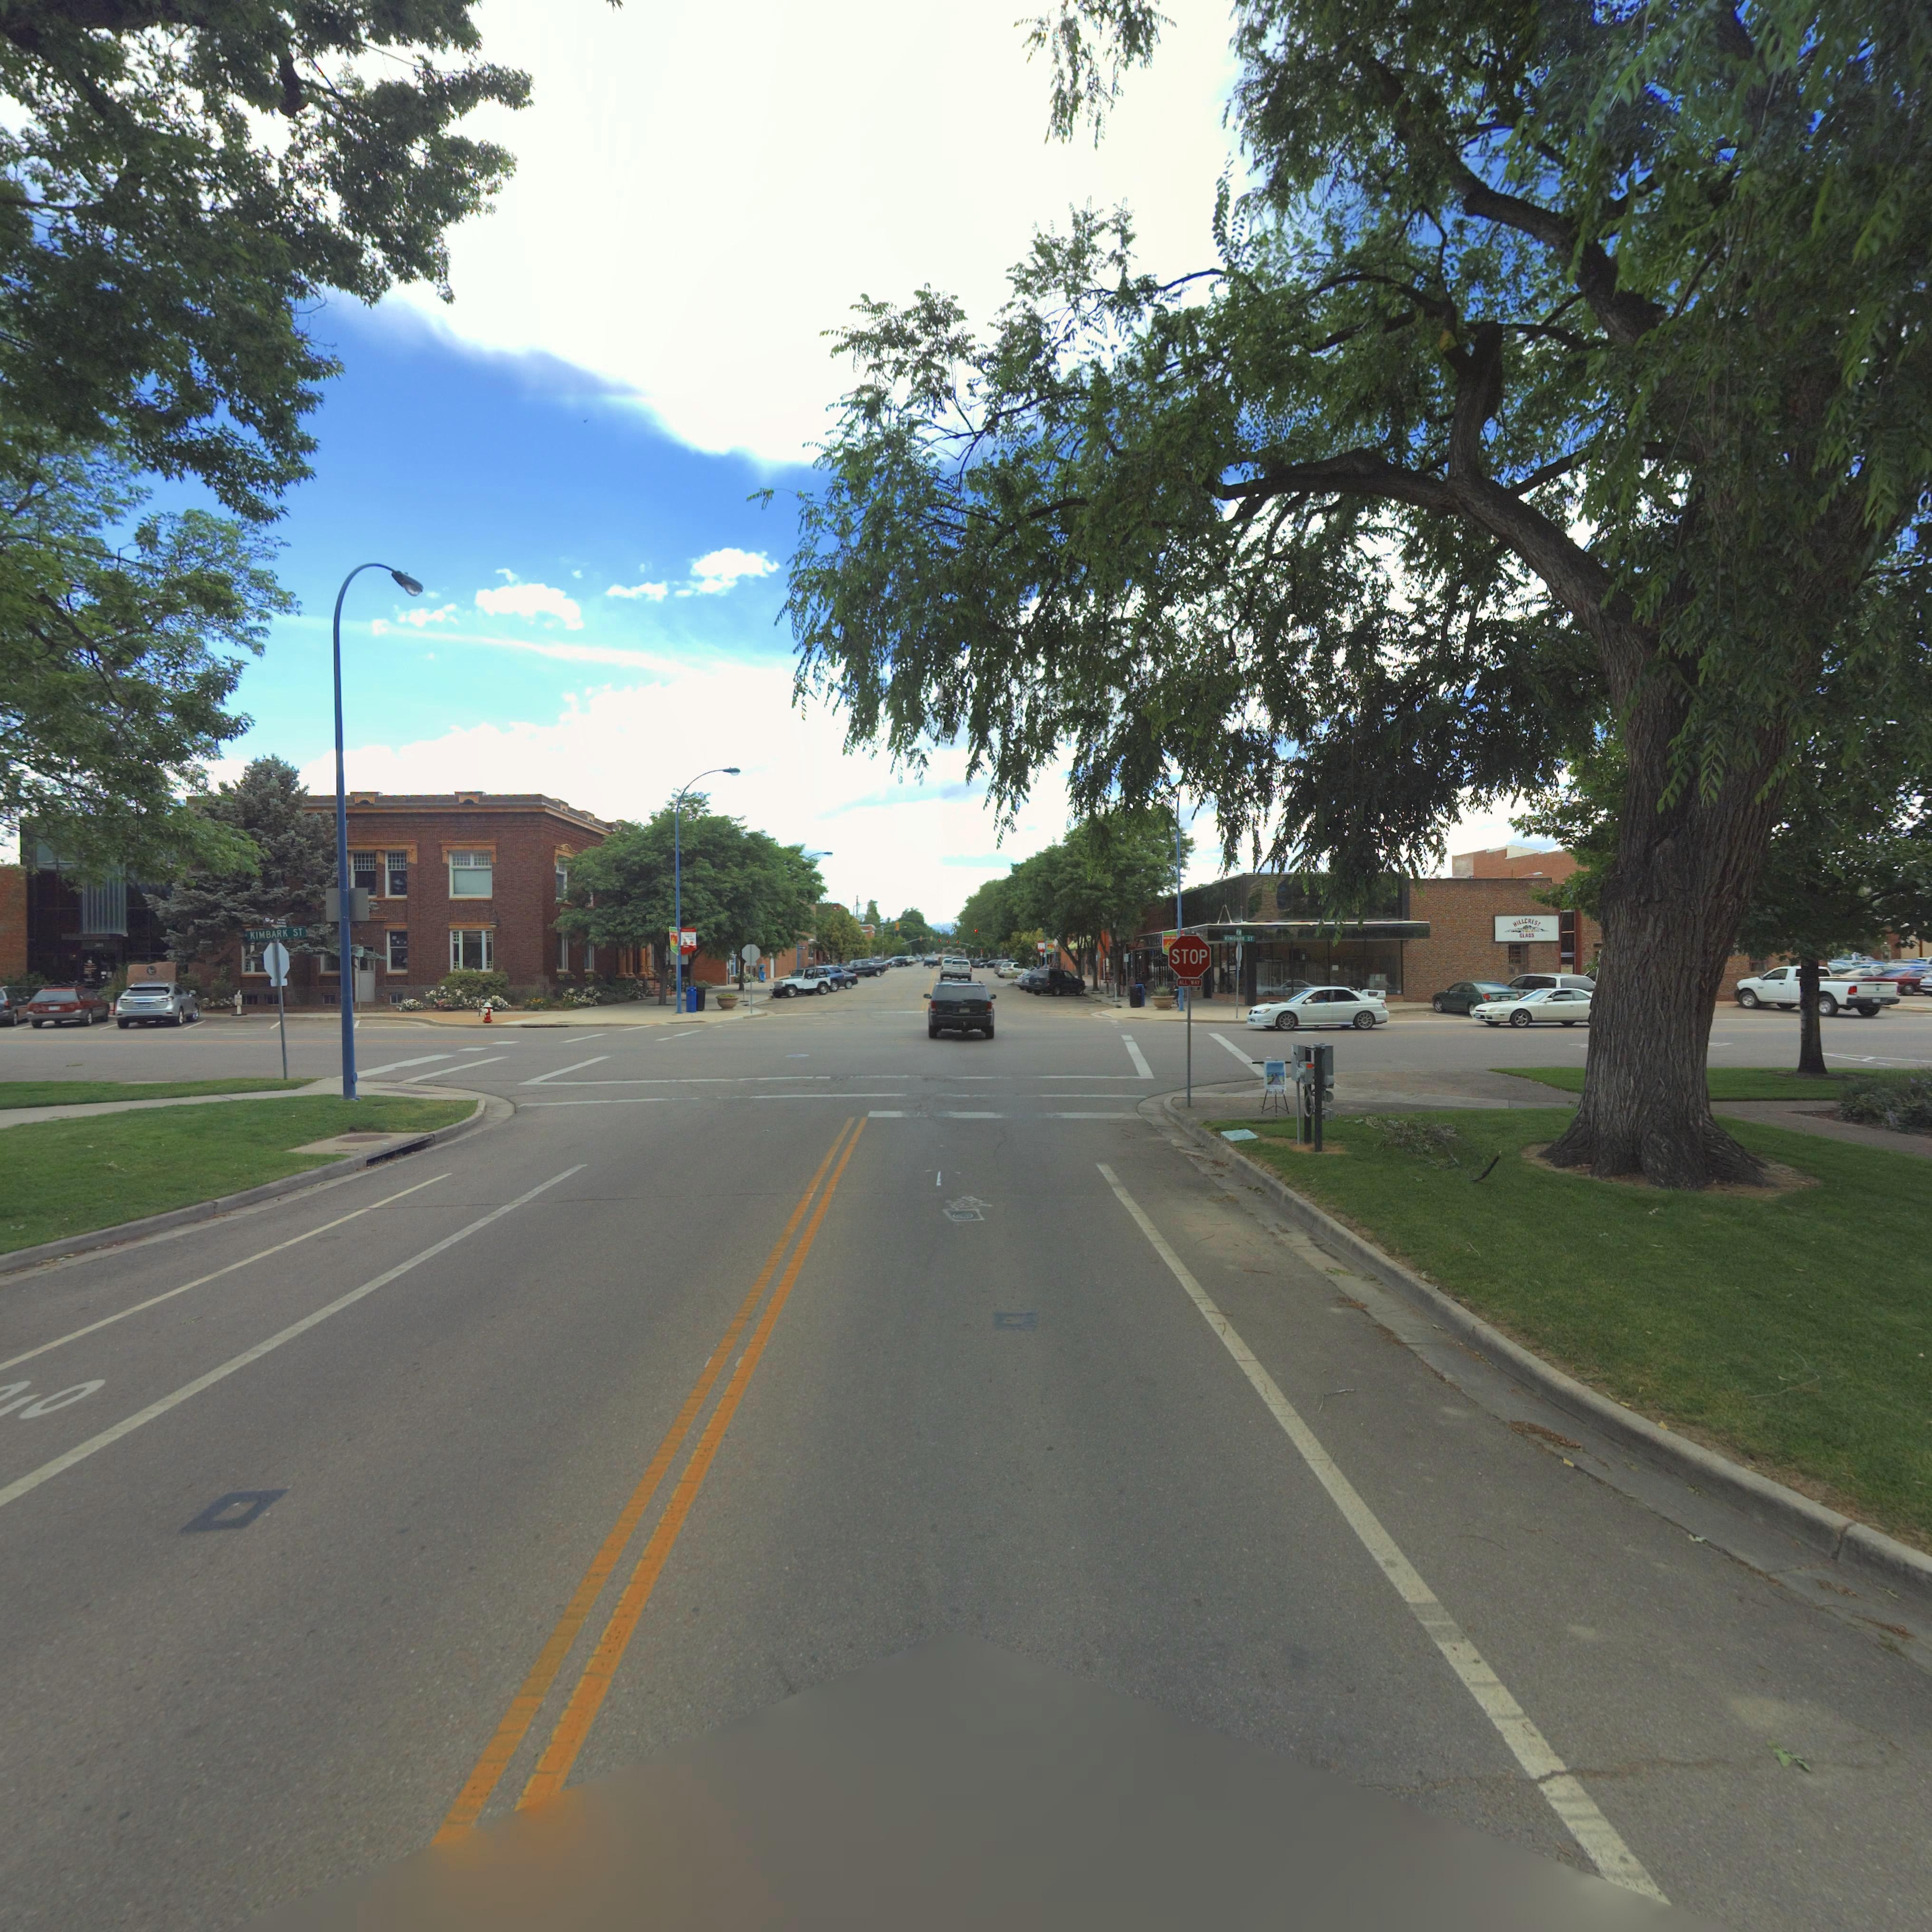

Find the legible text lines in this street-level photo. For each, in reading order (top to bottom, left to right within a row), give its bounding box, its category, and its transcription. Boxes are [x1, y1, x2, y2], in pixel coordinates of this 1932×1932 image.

[1512, 917, 1541, 927] BusinessName: HILLCREST
[250, 928, 303, 939] StreetName: KIMBARK ST
[1224, 936, 1253, 941] StreetName: KIMBARK ST
[1518, 932, 1535, 938] BusinessName: GLA*S